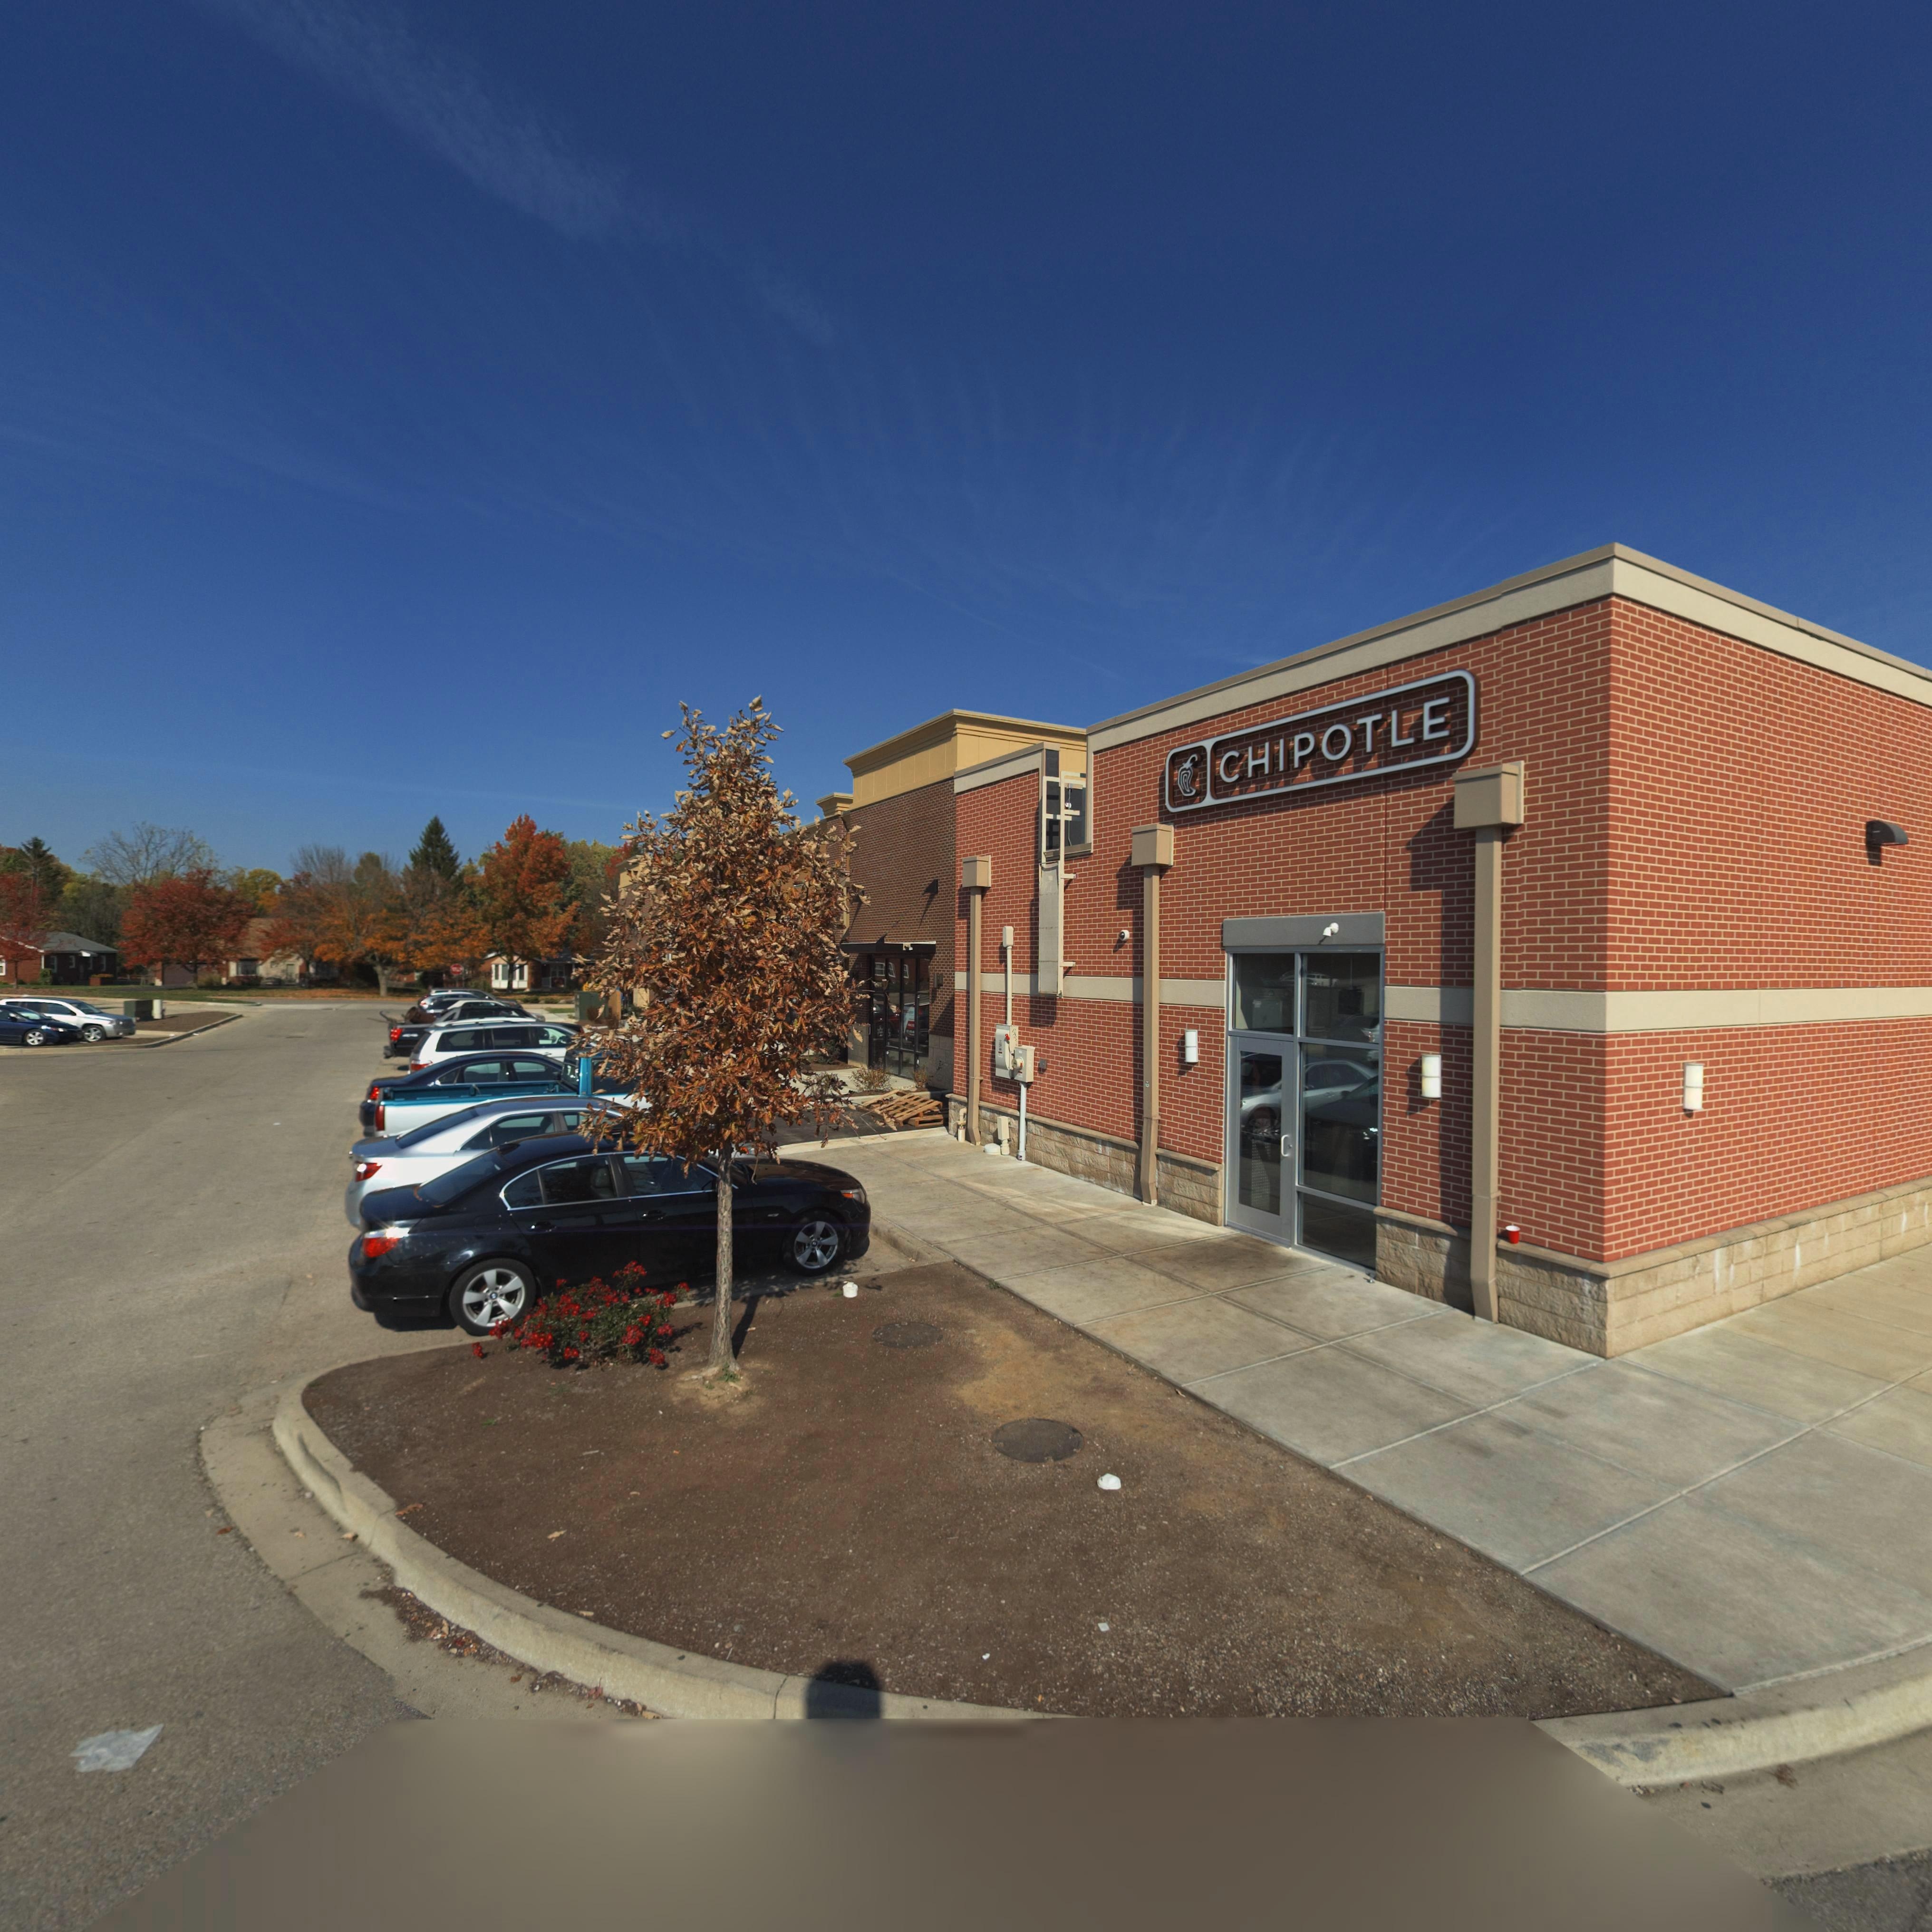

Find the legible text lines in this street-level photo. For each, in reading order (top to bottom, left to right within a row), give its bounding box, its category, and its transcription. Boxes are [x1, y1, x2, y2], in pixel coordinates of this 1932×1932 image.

[1218, 695, 1452, 785] BusinessName: CHIPOTLE